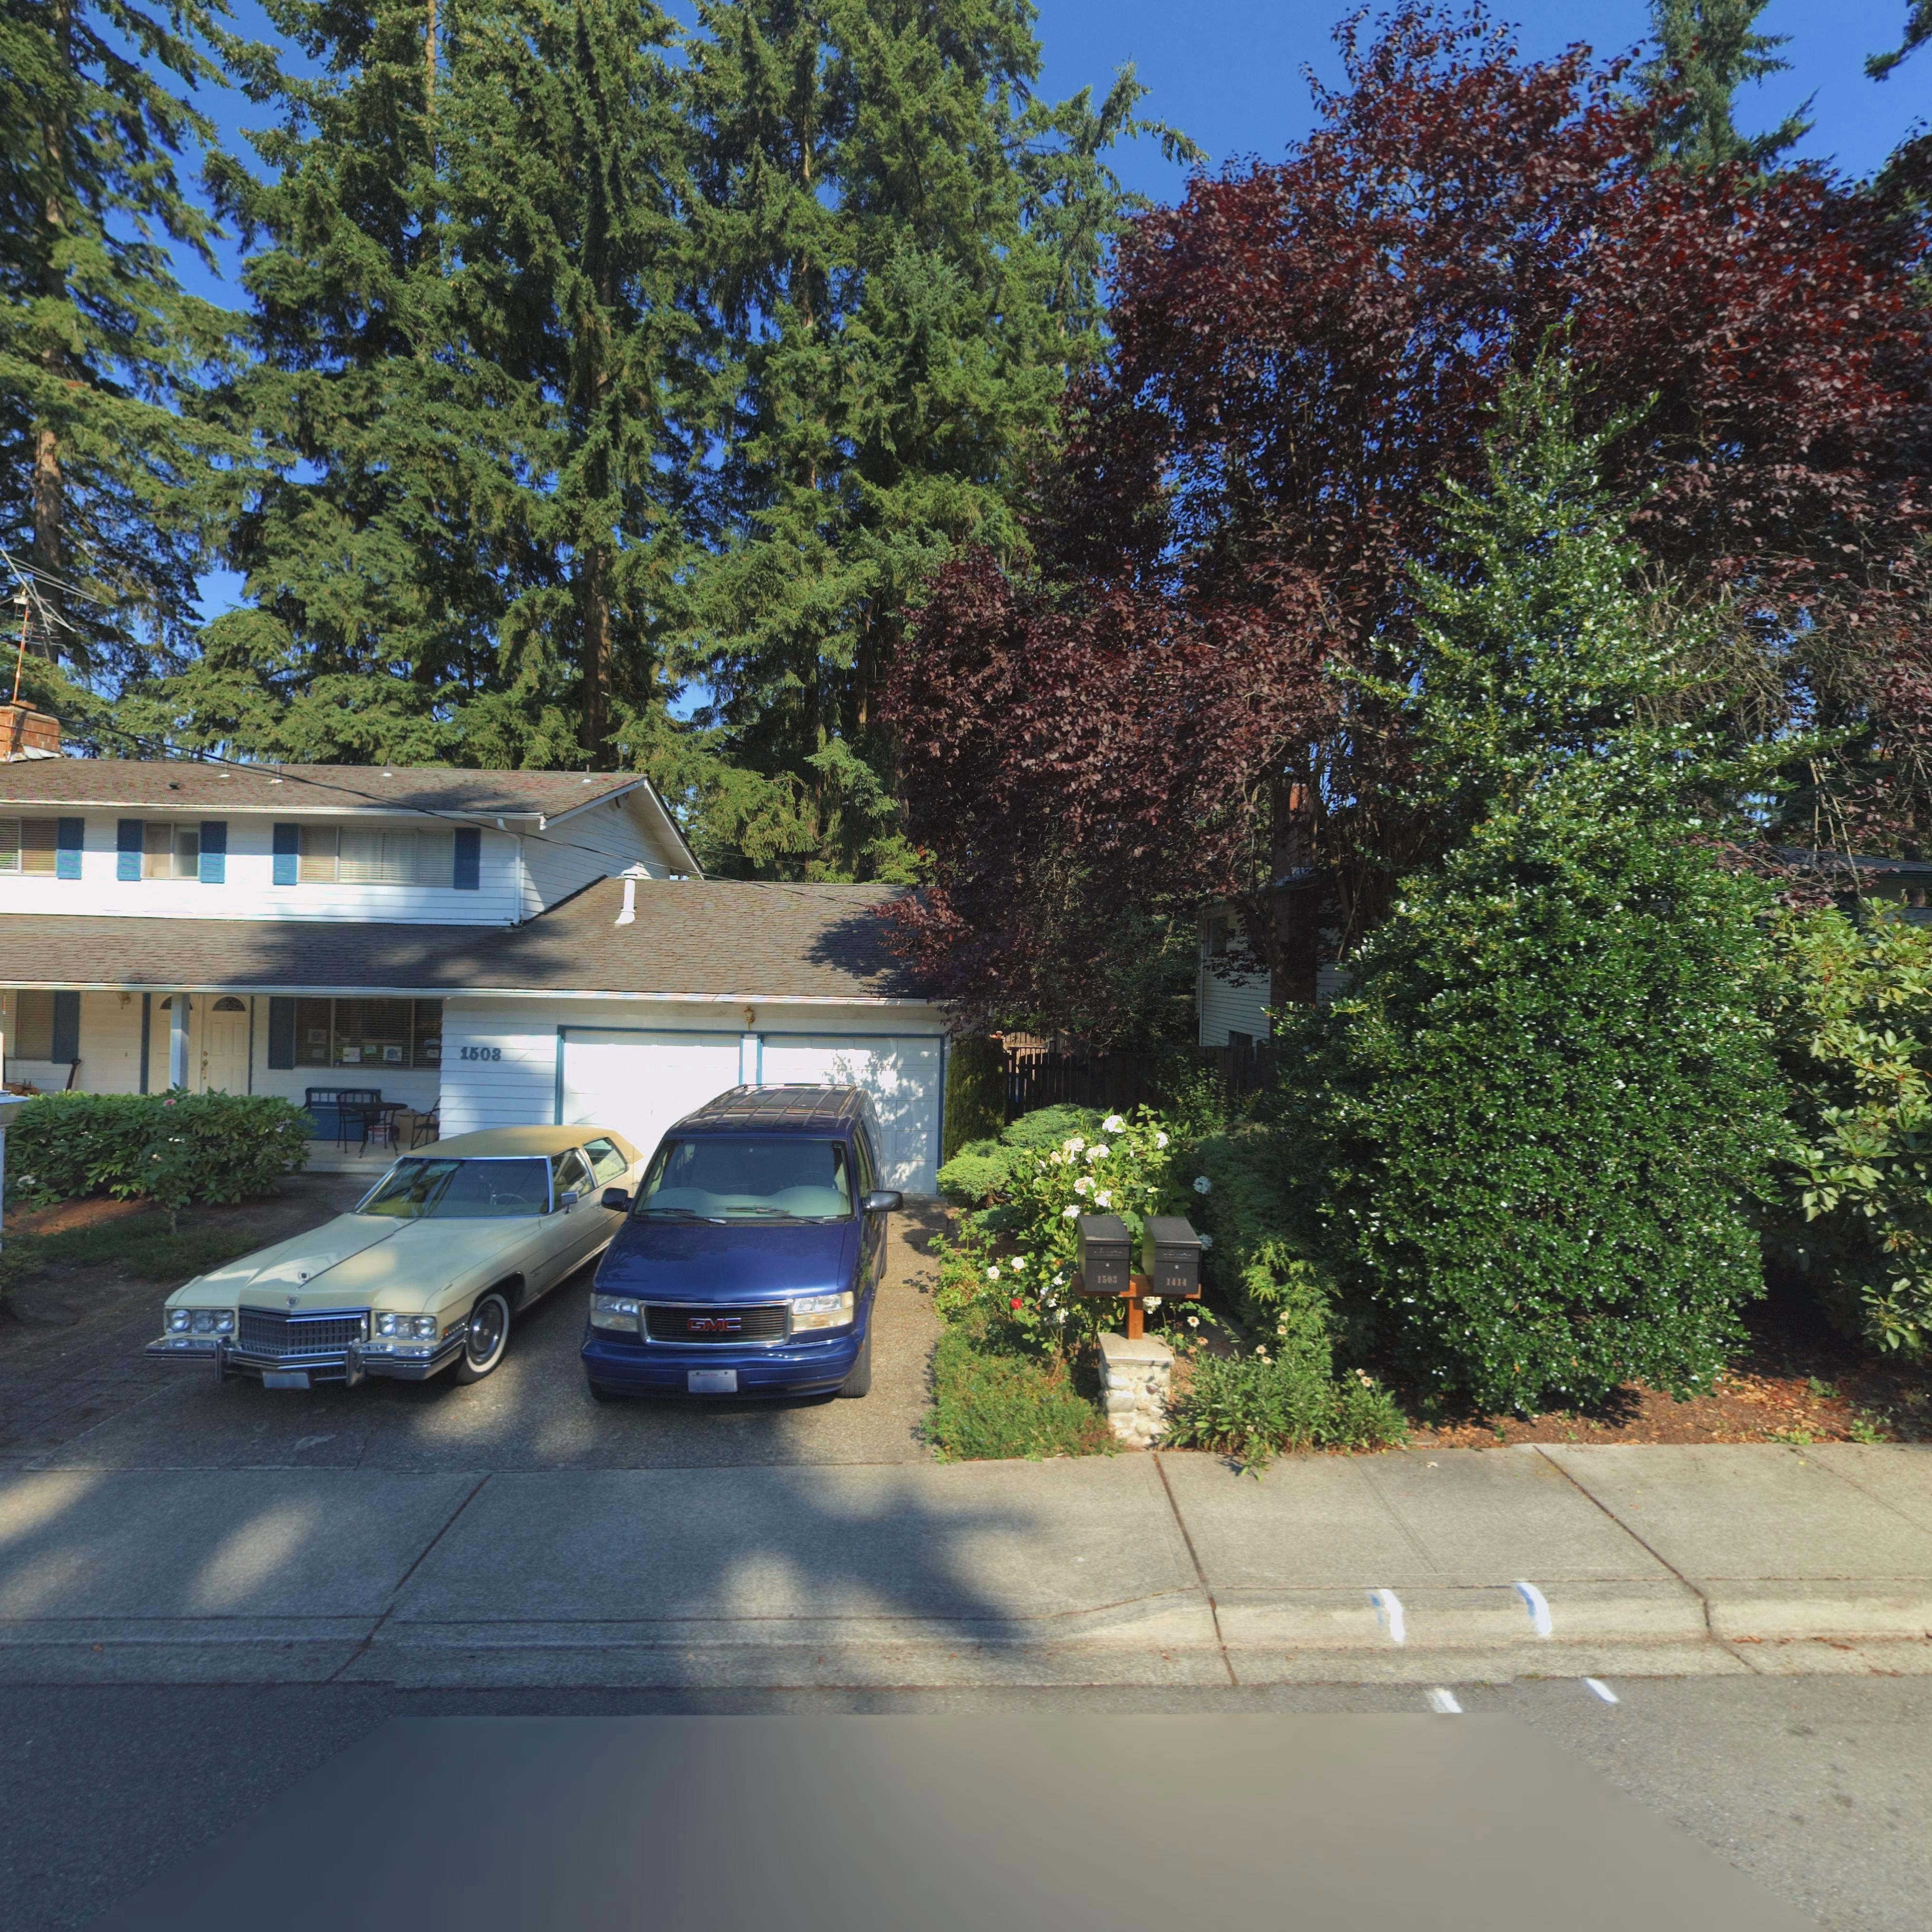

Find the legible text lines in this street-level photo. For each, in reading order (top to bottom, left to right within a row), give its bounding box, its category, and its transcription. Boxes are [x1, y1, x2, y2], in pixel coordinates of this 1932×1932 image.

[459, 1045, 502, 1061] StreetNumber: 1503
[1097, 1275, 1117, 1284] StreetNumber: 1503
[1166, 1277, 1187, 1286] StreetNumber: 1414